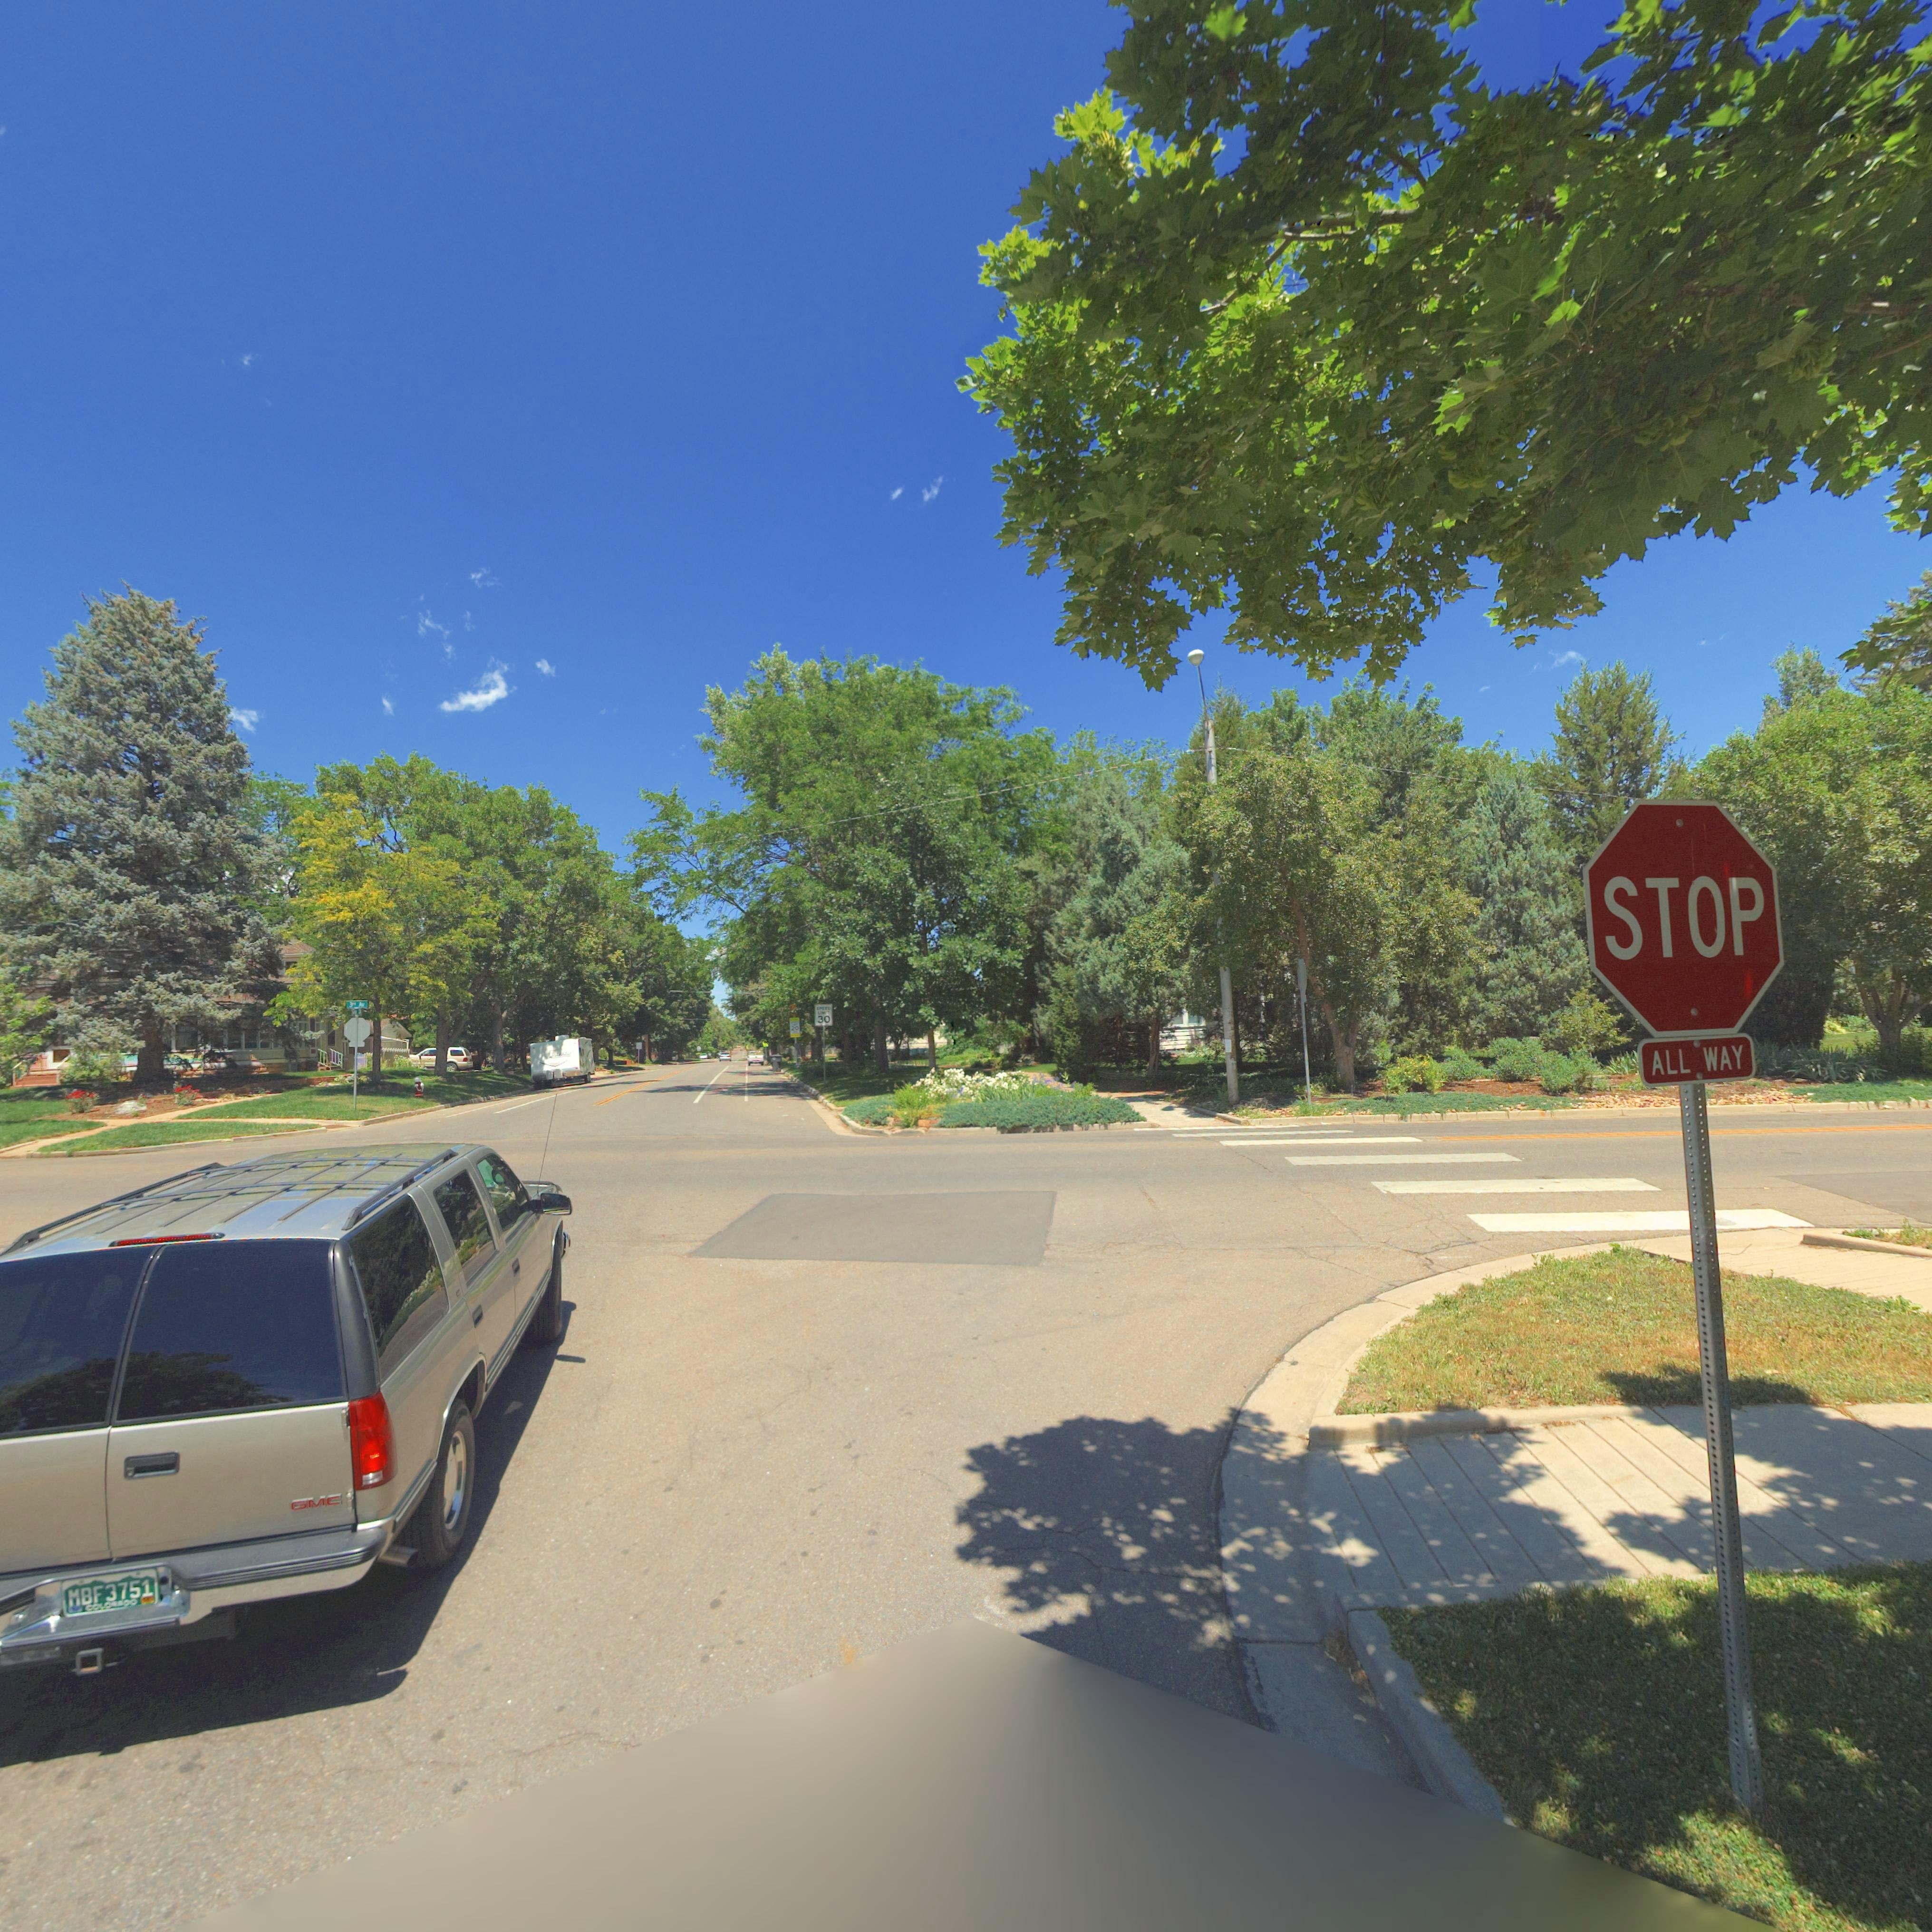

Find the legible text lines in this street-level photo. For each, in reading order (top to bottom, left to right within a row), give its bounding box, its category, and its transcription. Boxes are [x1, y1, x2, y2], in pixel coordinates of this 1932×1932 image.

[349, 1001, 365, 1007] StreetName: 3** Av